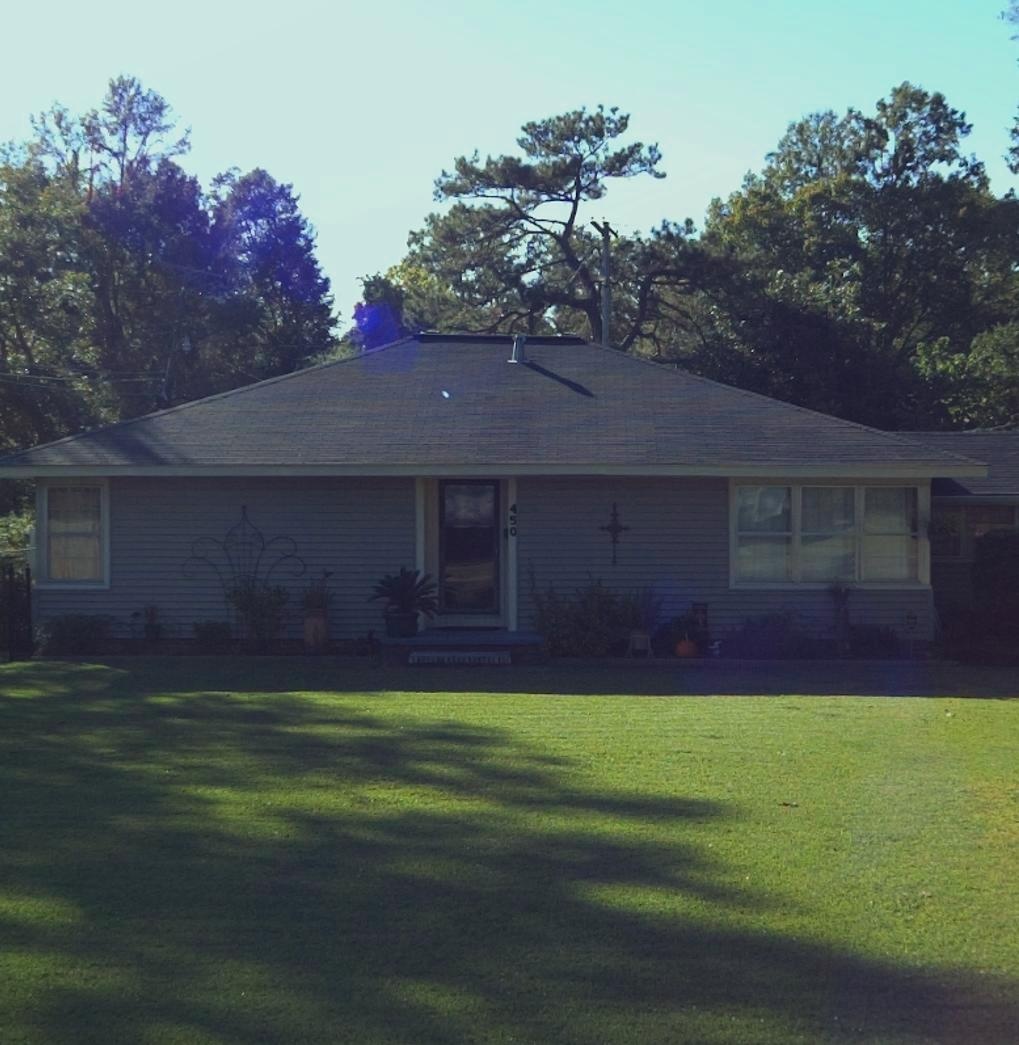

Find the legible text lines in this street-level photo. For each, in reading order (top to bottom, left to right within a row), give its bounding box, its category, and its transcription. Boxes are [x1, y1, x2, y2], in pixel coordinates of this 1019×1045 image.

[508, 502, 519, 537] StreetNumber: 450